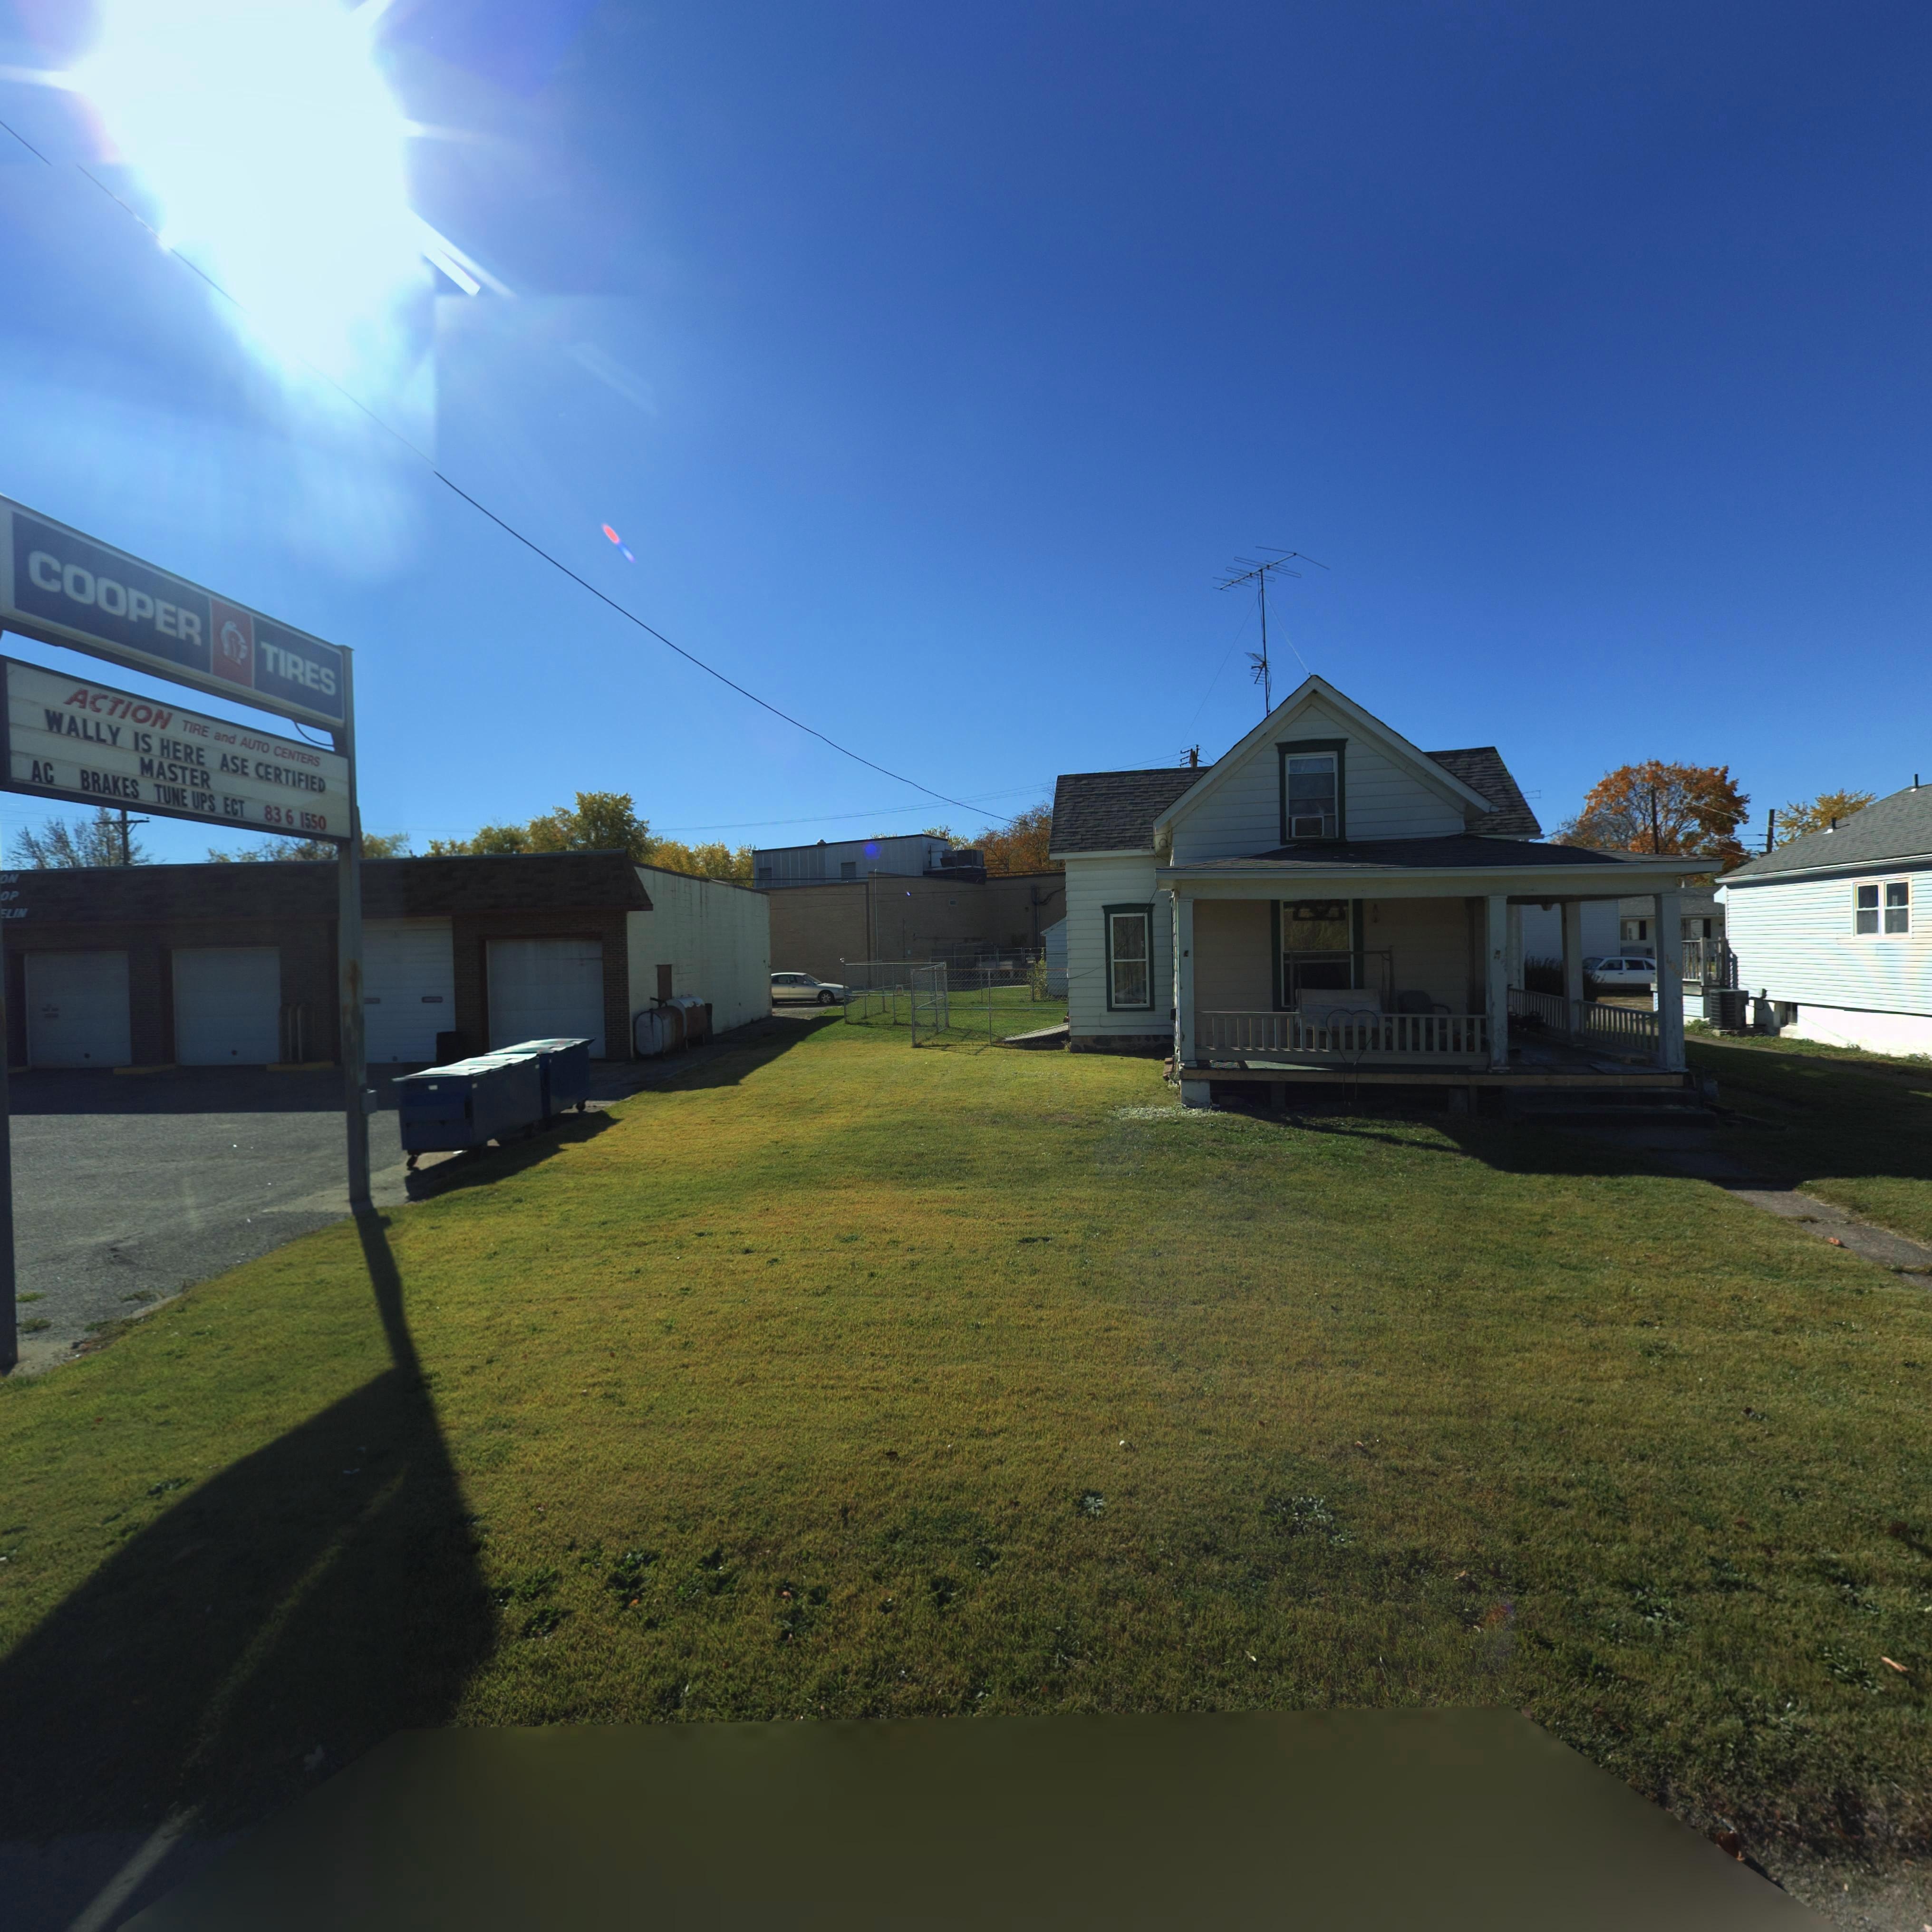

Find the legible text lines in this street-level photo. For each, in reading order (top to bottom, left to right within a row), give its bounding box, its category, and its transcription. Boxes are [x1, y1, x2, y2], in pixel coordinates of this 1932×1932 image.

[26, 546, 338, 700] None: COOPER * TIRES
[138, 754, 213, 792] None: MASTER
[29, 758, 328, 834] None: AC BRAKES TUNE UPS ECT 836 1550
[43, 707, 328, 795] None: WALLY IS HERE ASE CERTIFIED
[59, 685, 325, 772] BusinessName: ACTION TIRE and AUTO CENTERS
[1663, 953, 1683, 981] StreetNumber: 1**